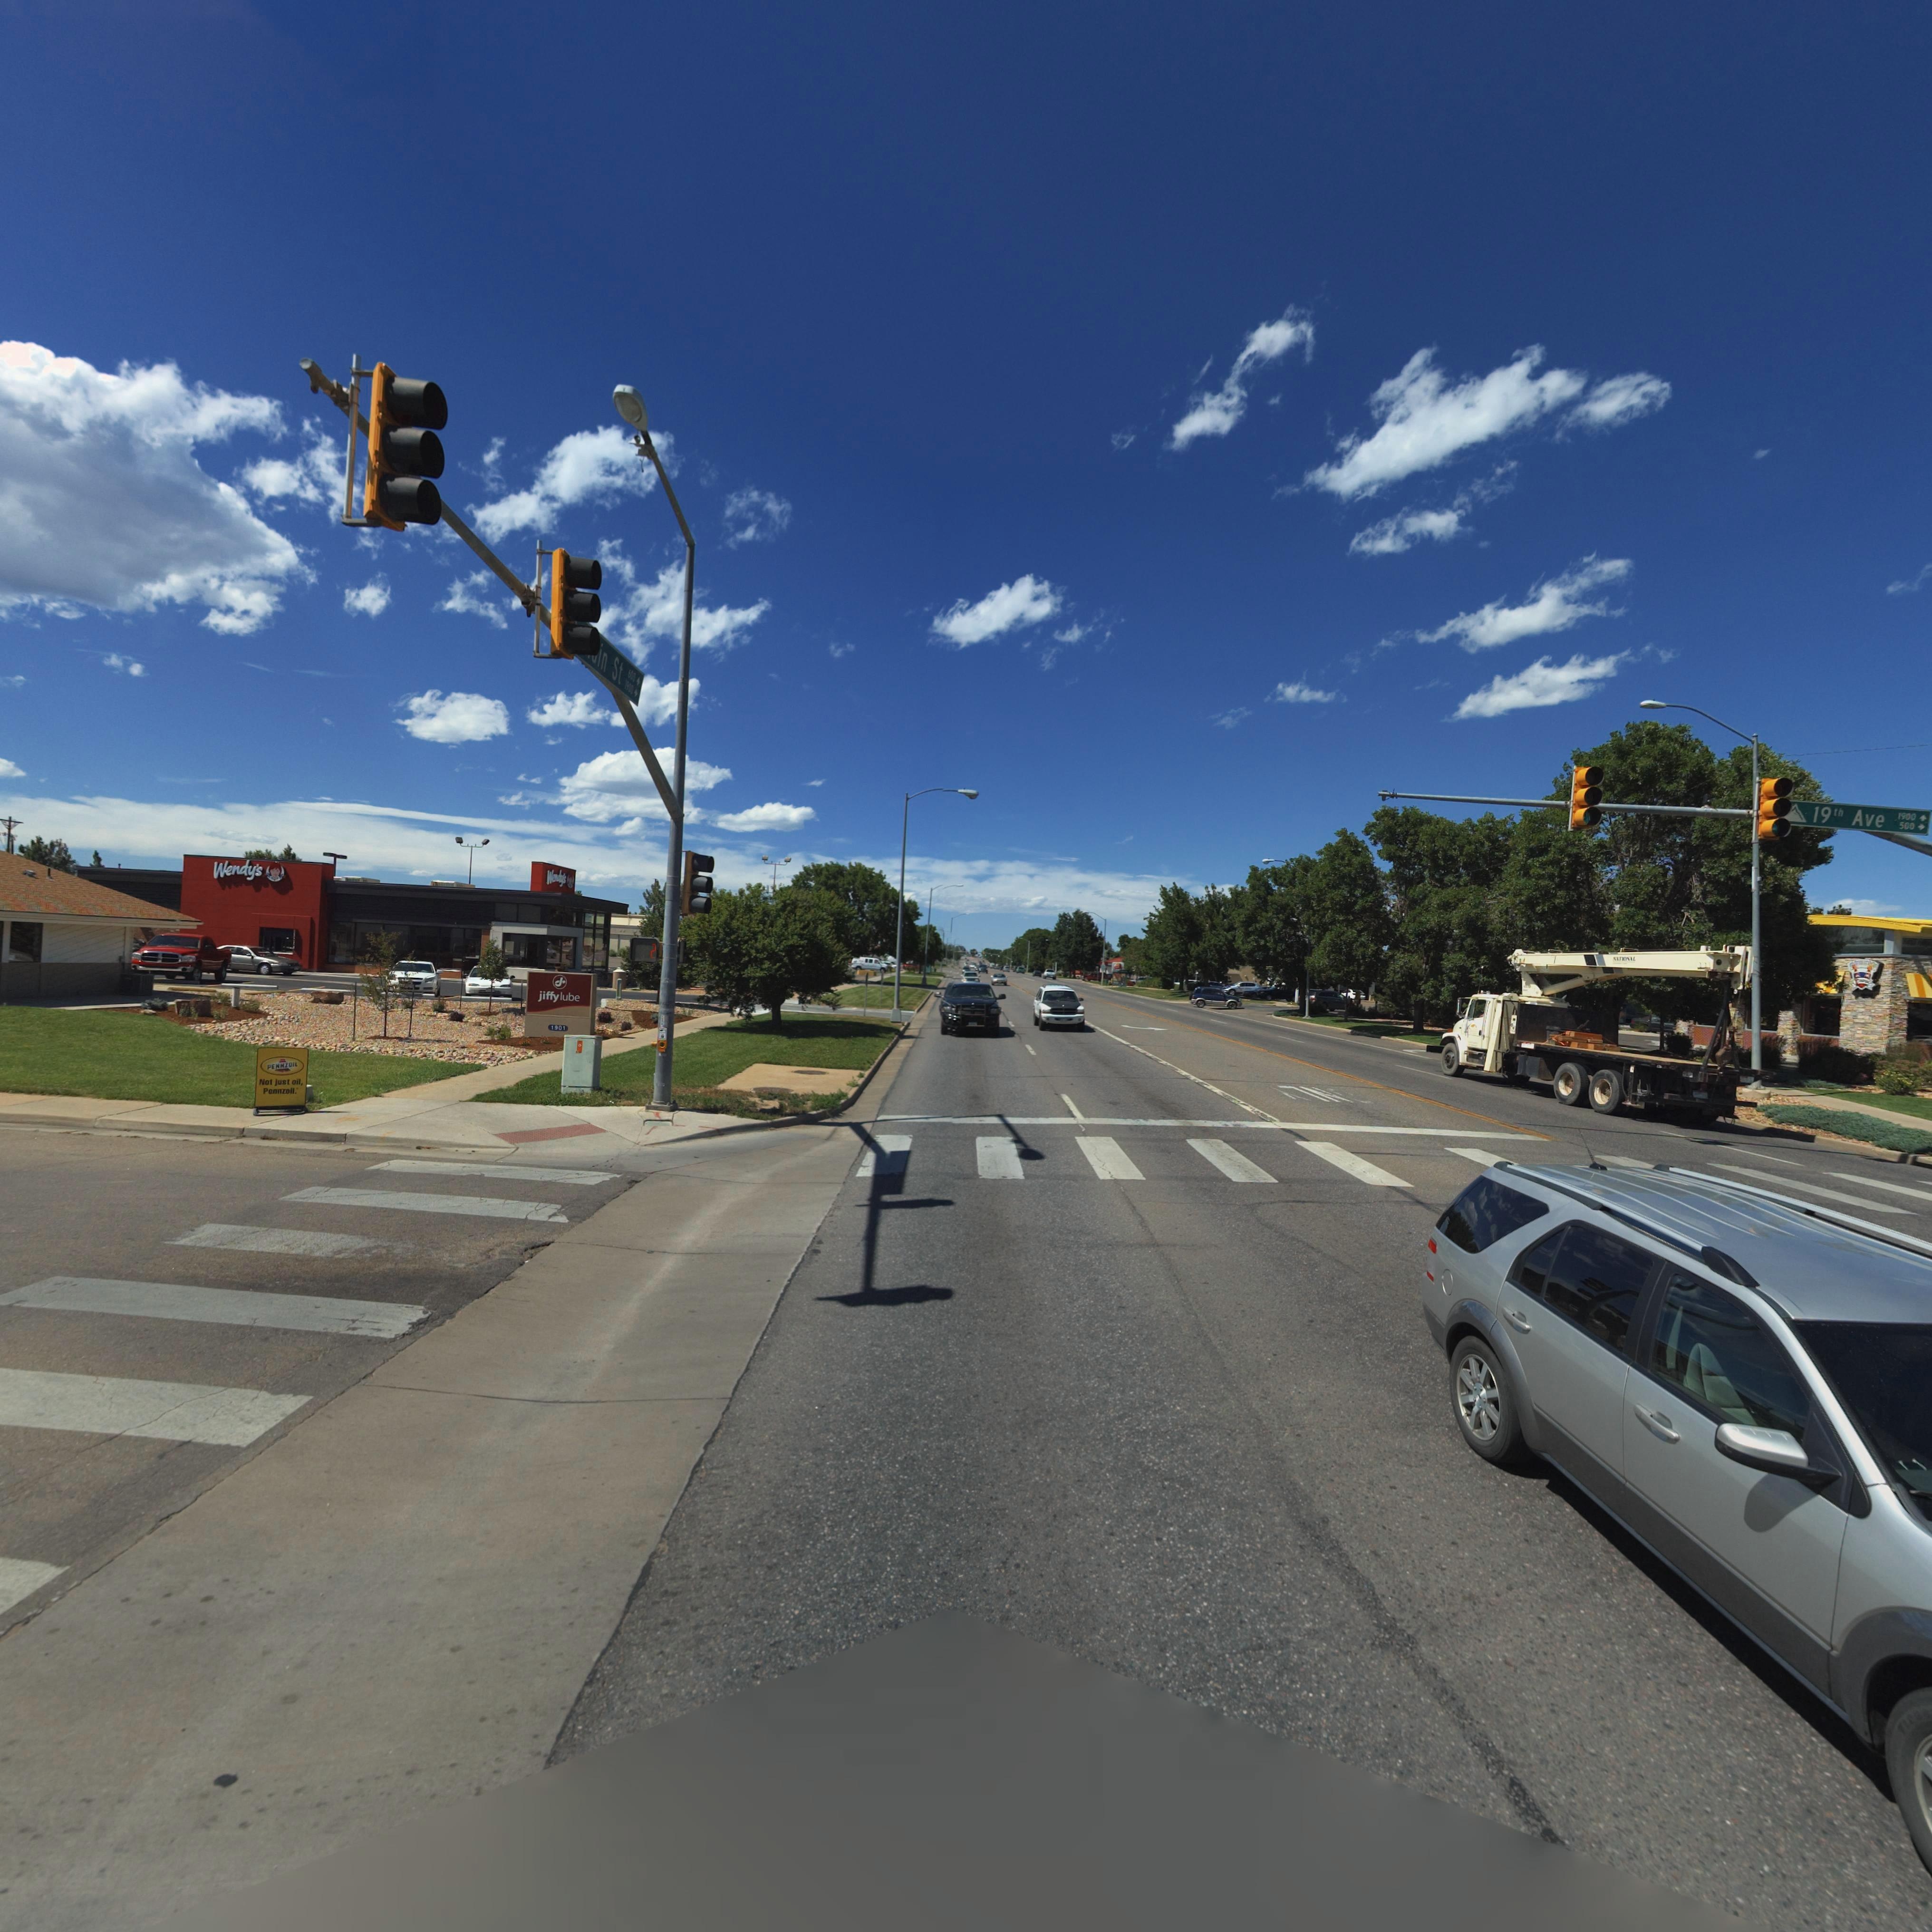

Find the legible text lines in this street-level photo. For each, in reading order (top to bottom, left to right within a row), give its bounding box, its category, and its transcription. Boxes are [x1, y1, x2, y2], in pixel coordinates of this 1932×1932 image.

[596, 642, 627, 685] StreetName: in St
[627, 668, 638, 682] StreetNumberRange: *00
[623, 679, 639, 698] StreetNumberRange: 1*00 ->
[1812, 805, 1885, 829] StreetName: 19th Ave
[1897, 812, 1917, 821] StreetNumberRange: 1900
[1898, 821, 1926, 831] StreetNumberRange: 500 ->
[213, 859, 263, 881] BusinessName: Wendy's
[547, 869, 567, 887] BusinessName: W***y's
[536, 990, 580, 1003] BusinessName: jiffy lube
[551, 1025, 567, 1030] StreetNumber: 1901